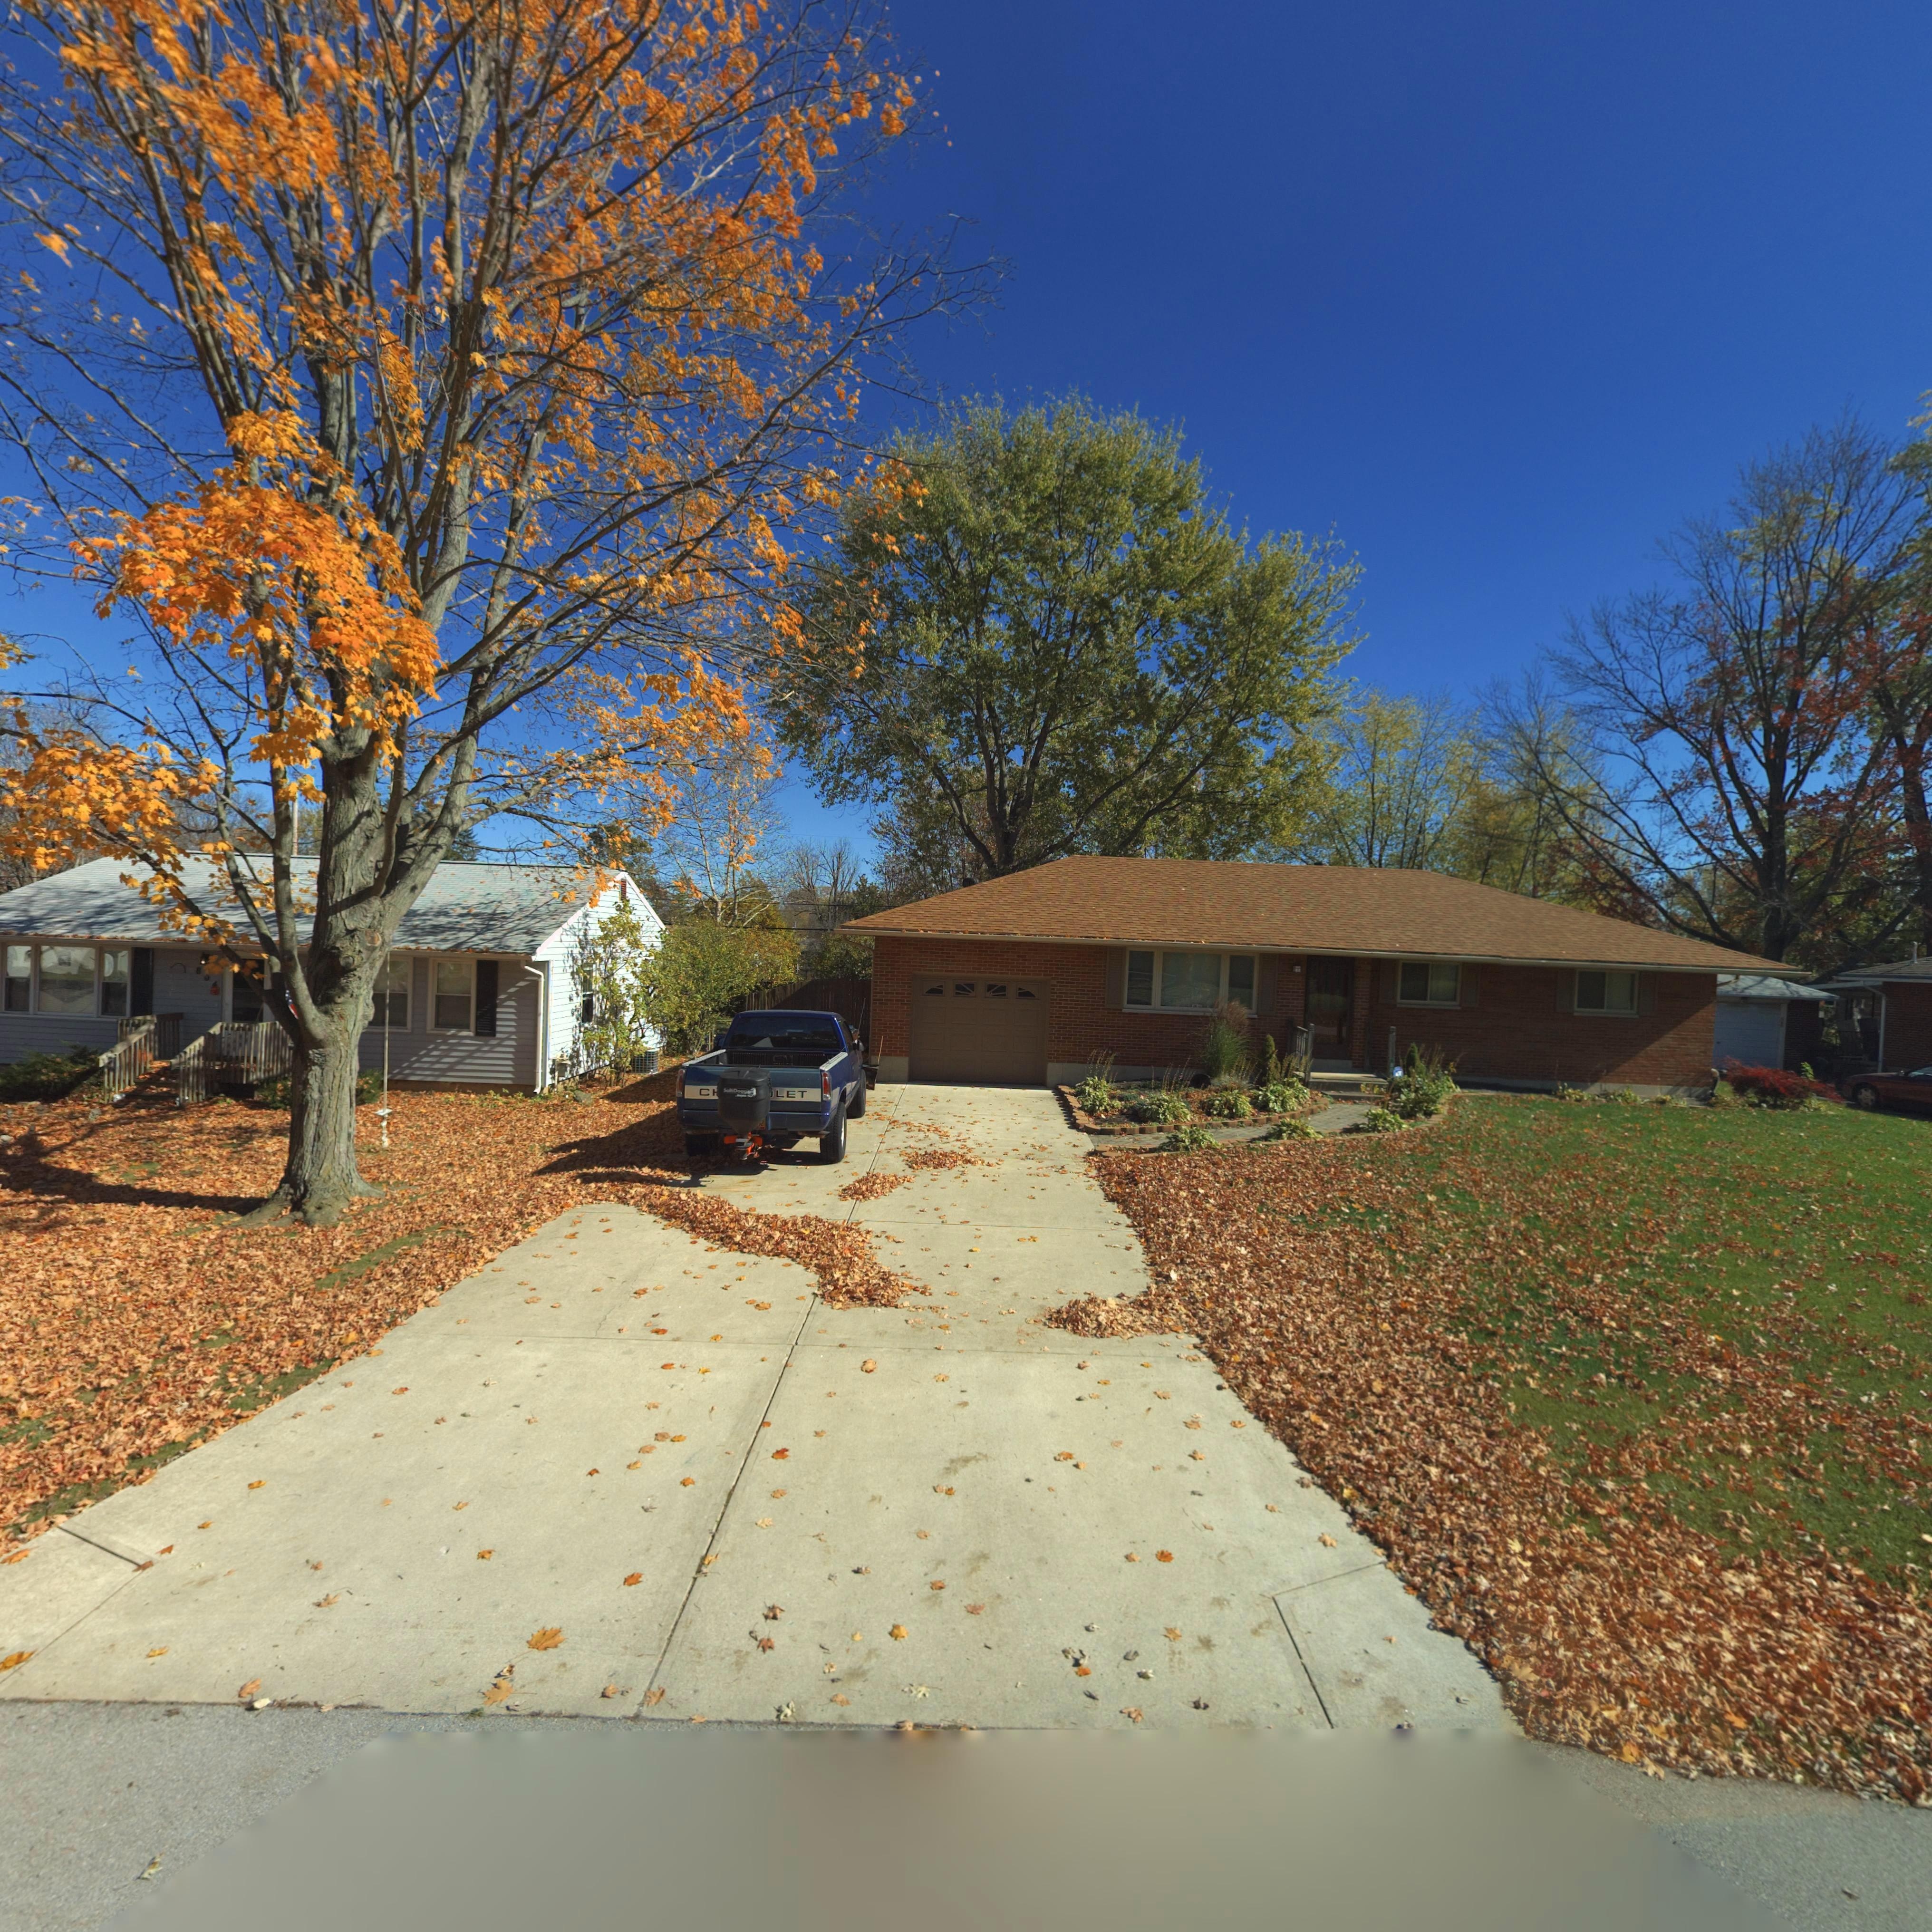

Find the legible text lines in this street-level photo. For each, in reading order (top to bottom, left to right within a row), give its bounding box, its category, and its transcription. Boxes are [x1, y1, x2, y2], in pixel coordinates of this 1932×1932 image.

[195, 966, 218, 988] StreetNumber: 804